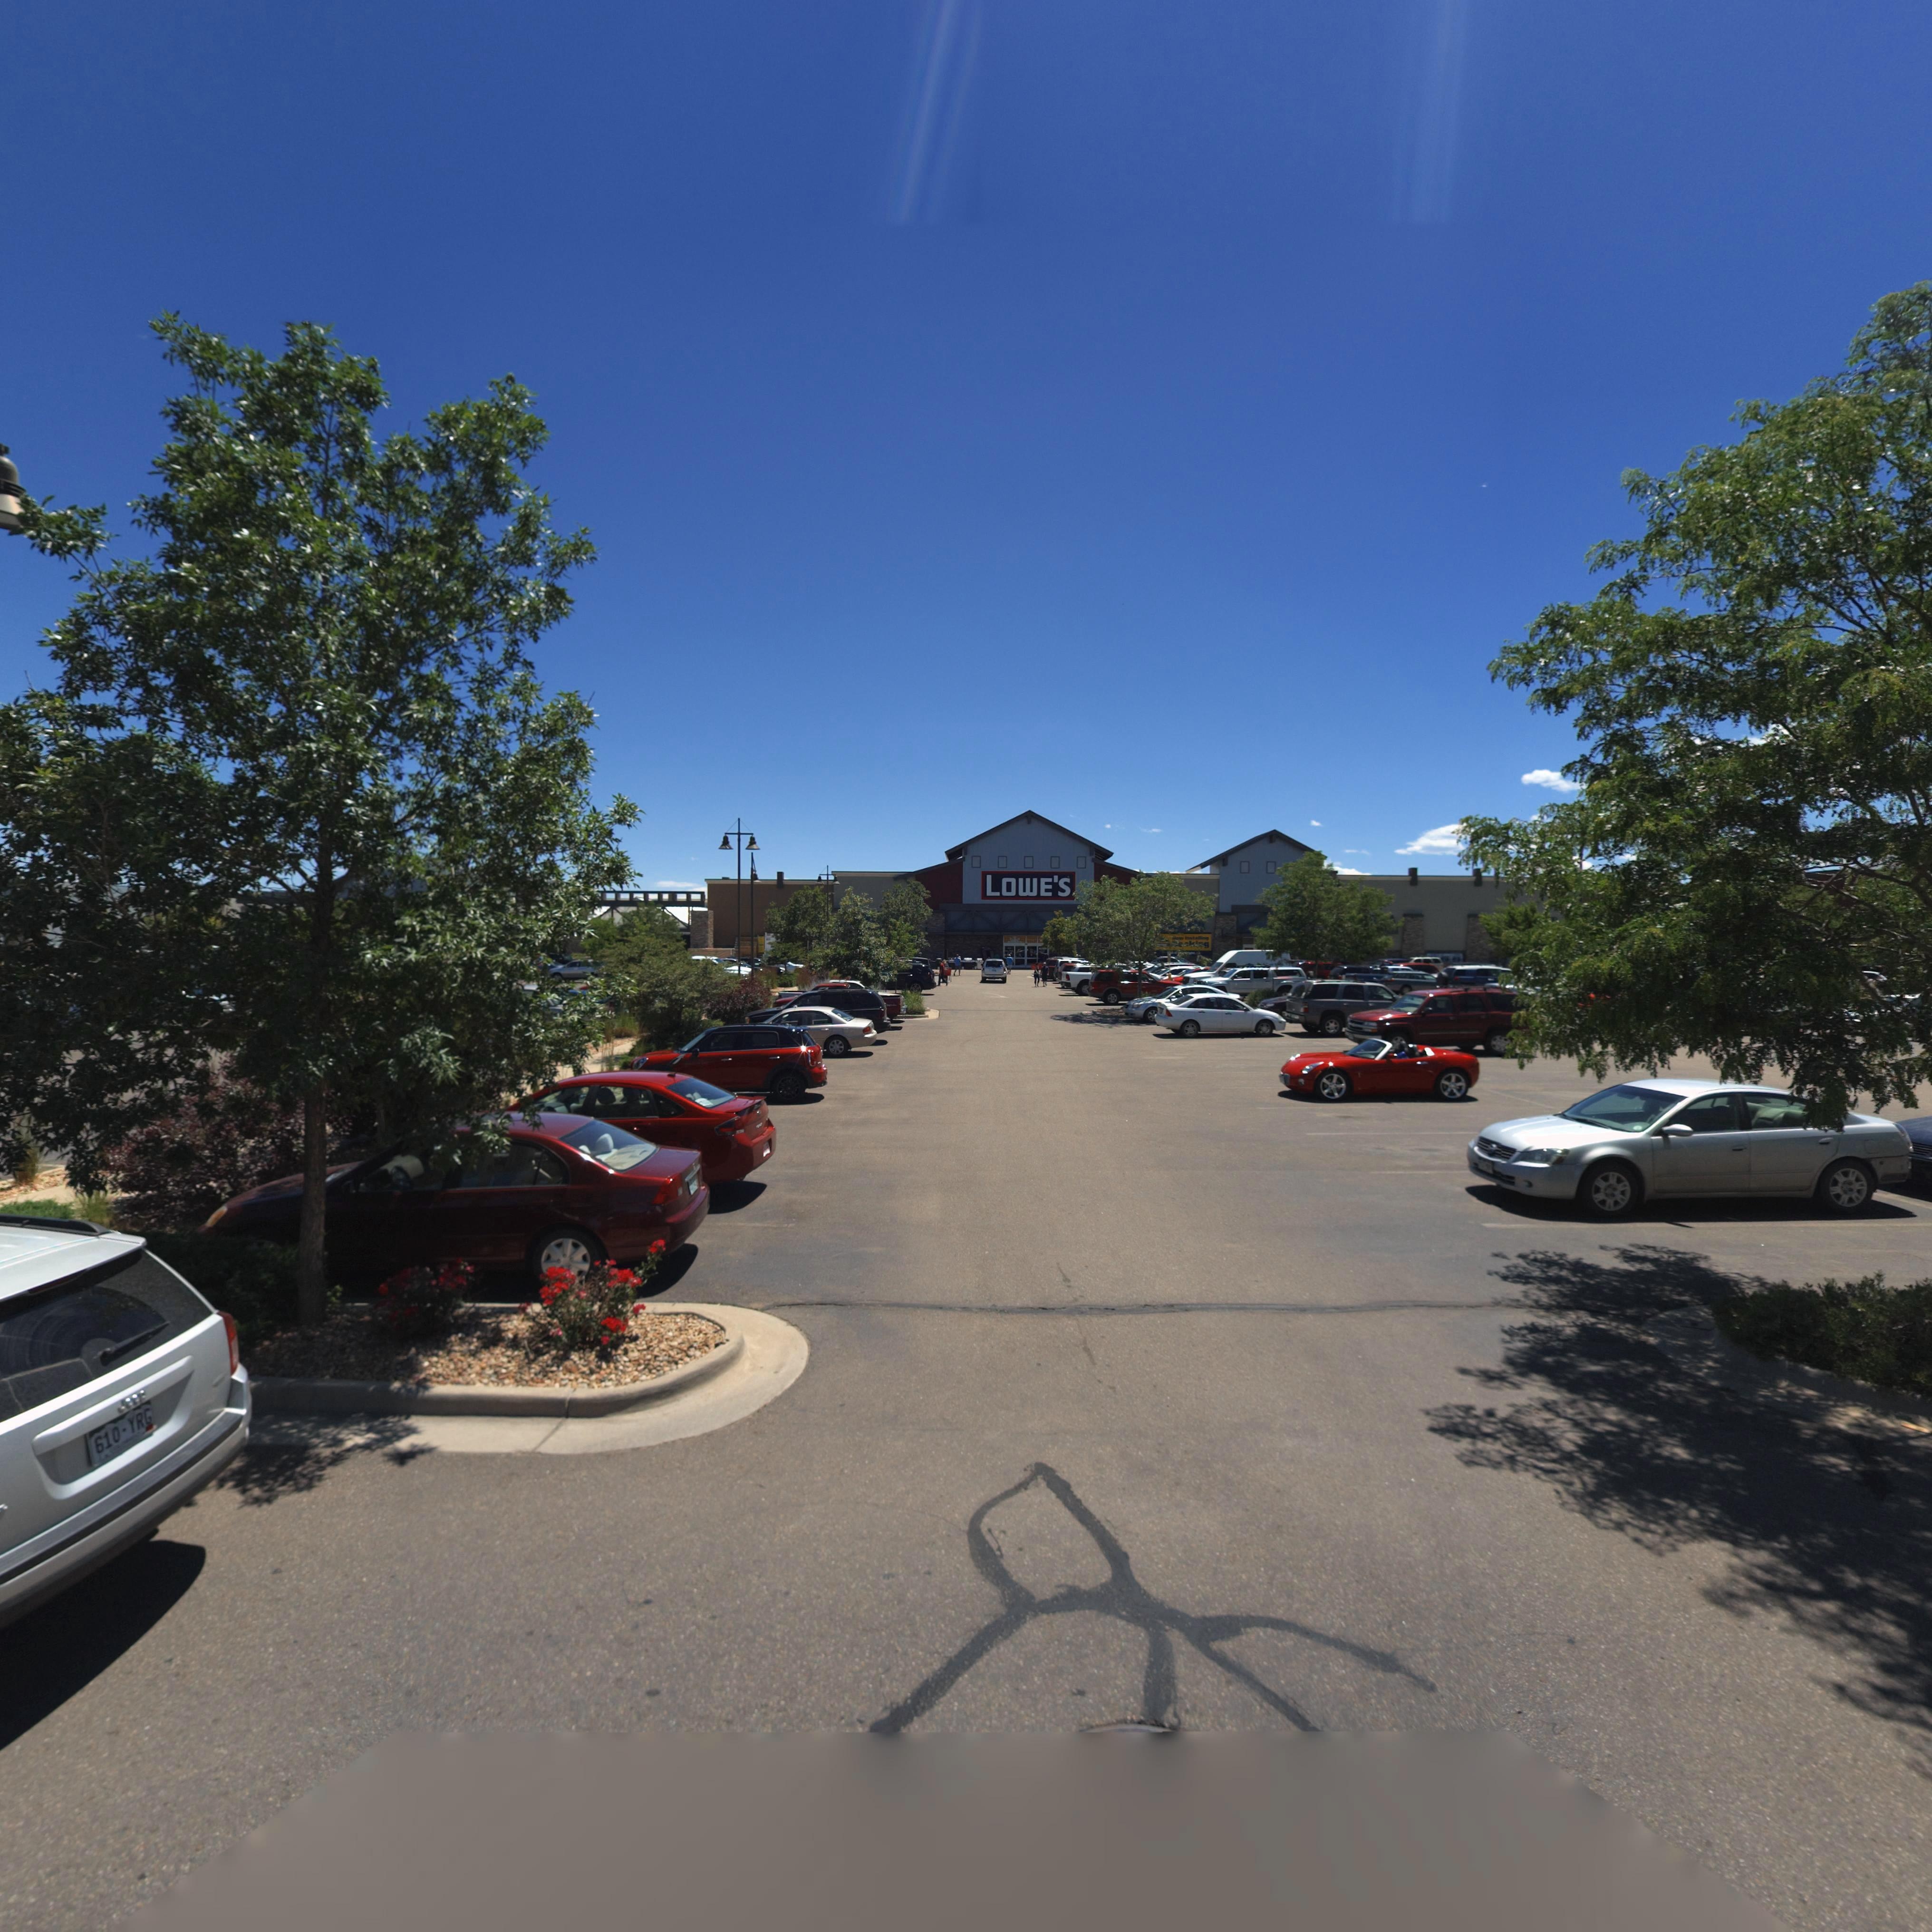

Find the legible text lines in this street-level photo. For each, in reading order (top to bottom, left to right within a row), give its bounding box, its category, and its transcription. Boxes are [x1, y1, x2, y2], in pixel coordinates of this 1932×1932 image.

[986, 875, 1070, 897] BusinessName: LOWE'S